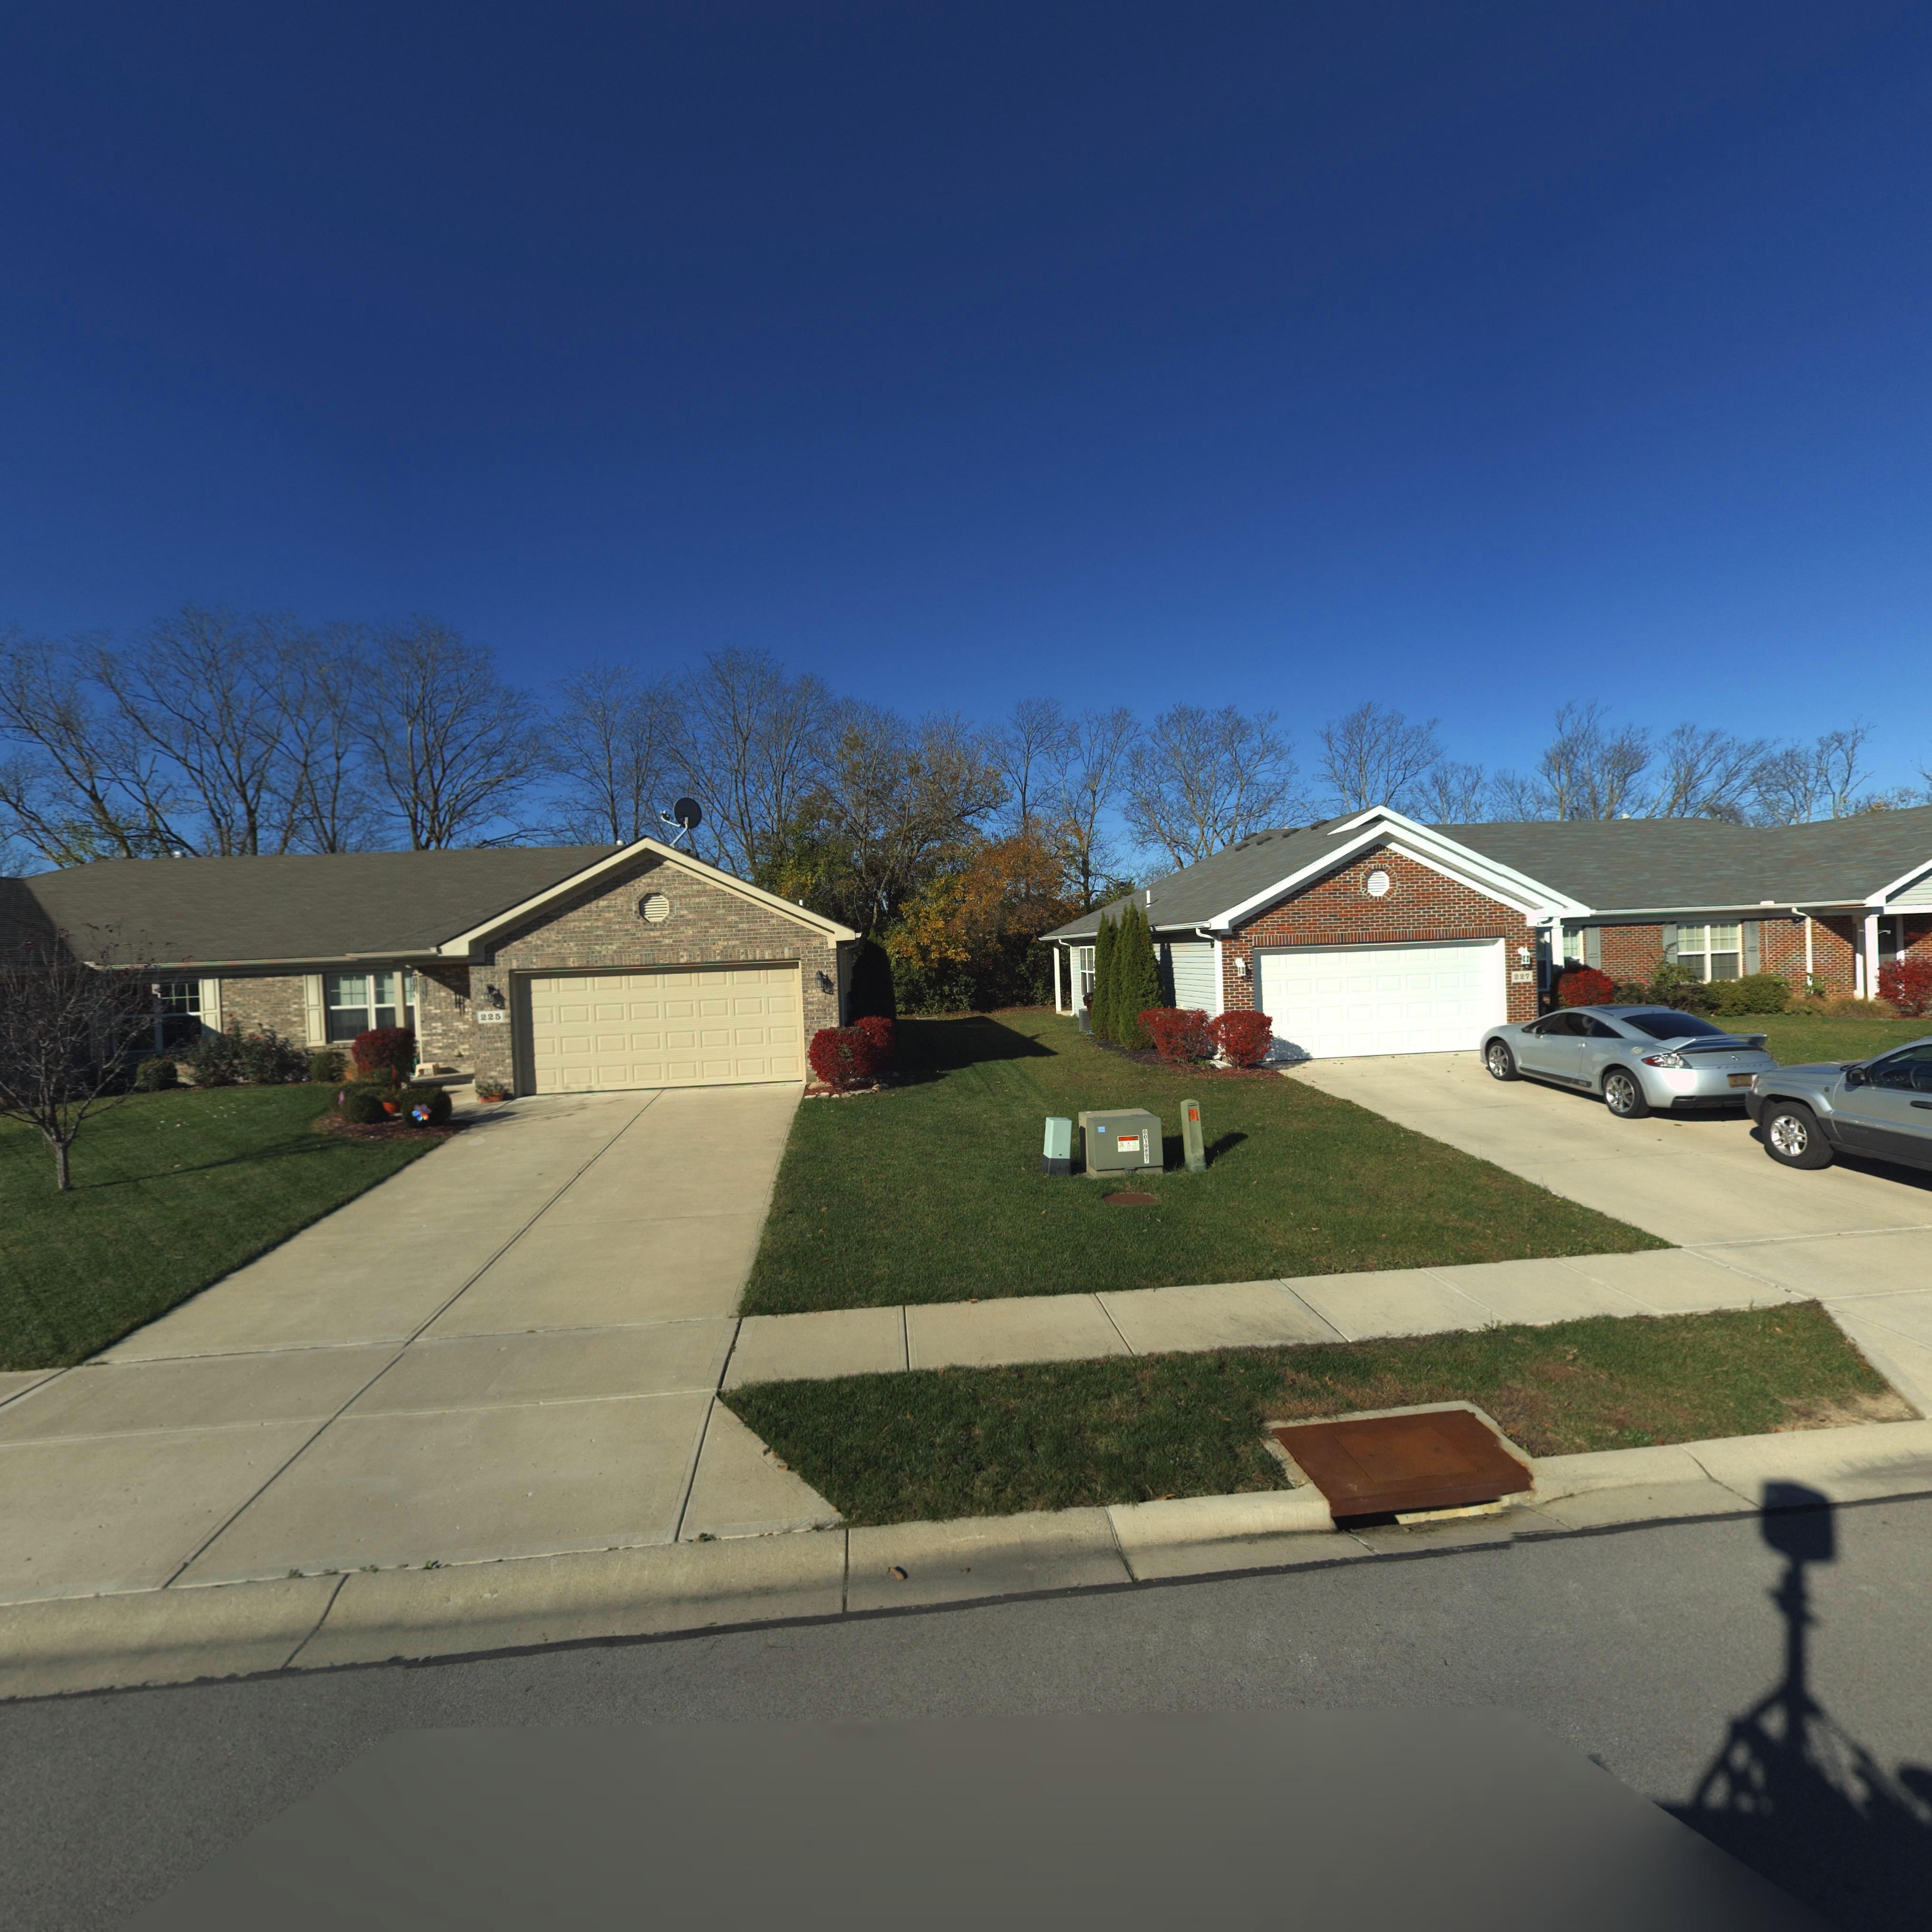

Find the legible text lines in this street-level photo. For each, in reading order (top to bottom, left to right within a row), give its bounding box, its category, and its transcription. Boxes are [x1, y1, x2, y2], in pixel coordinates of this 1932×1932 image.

[1513, 973, 1530, 980] StreetNumber: 227
[480, 1013, 502, 1021] StreetNumber: 225